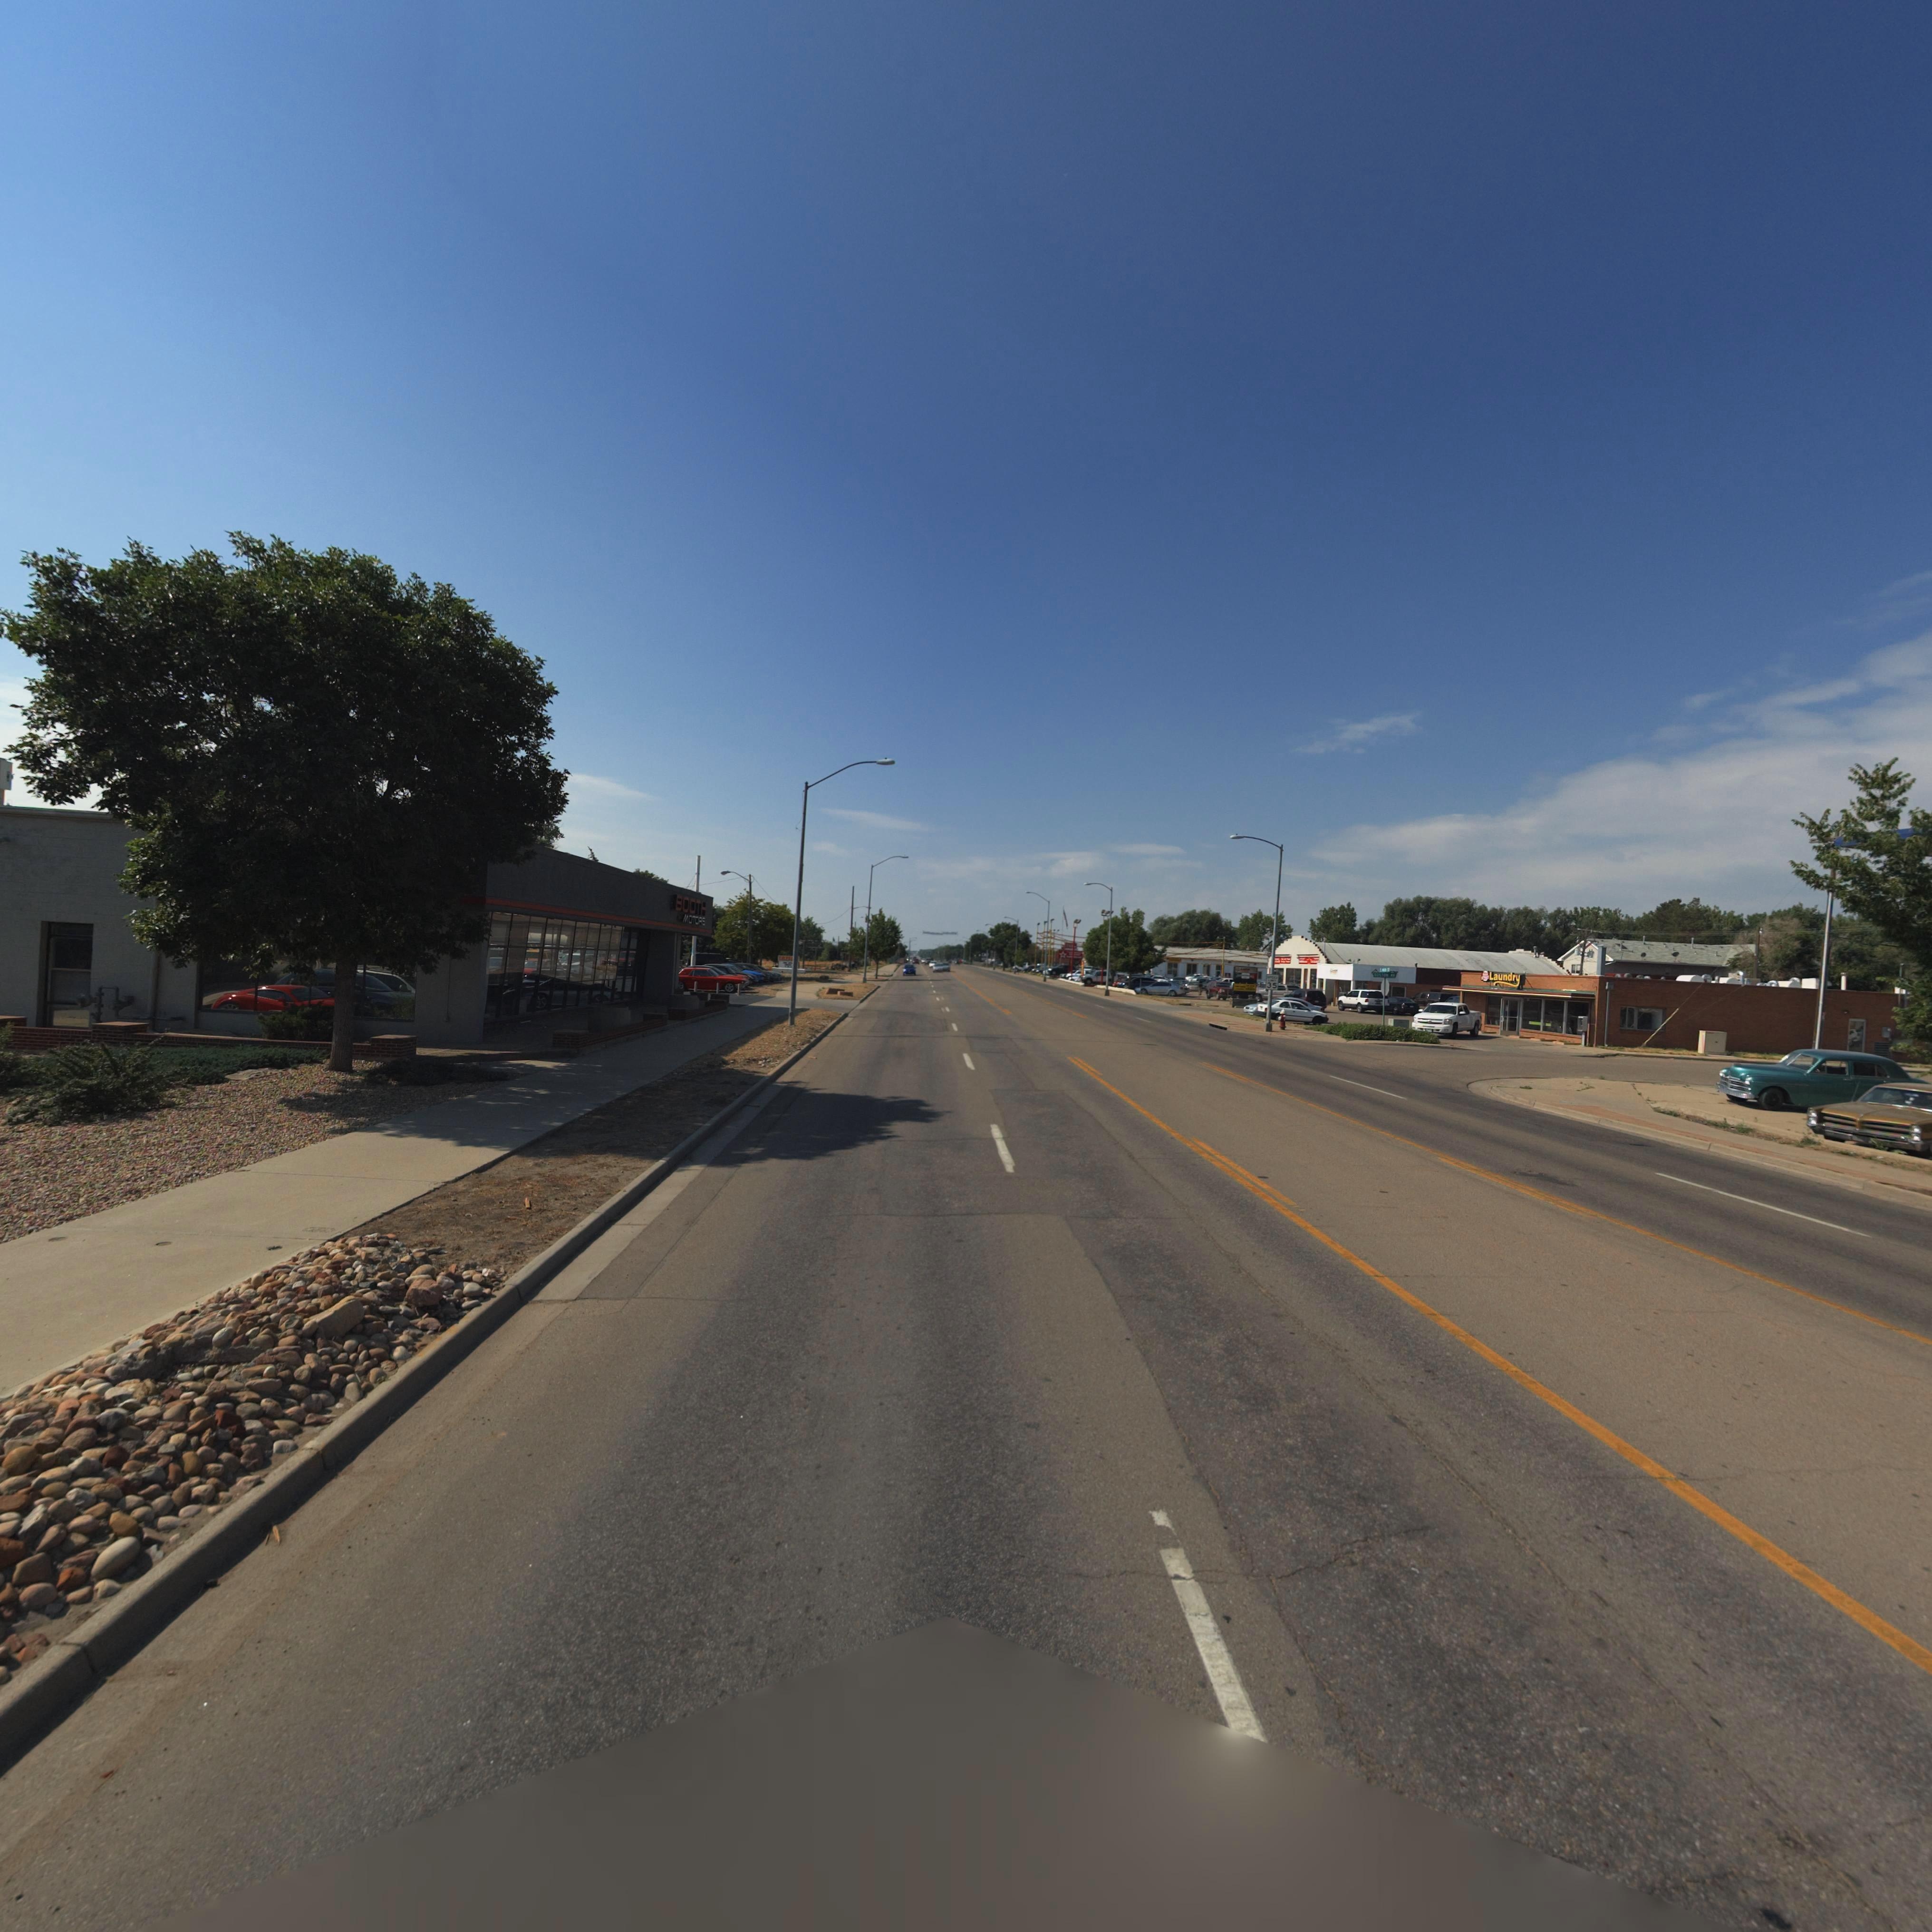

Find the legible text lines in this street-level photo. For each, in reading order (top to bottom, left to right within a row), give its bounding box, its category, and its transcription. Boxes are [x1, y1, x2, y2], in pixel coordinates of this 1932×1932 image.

[675, 894, 706, 916] BusinessName: BOOTH
[682, 914, 706, 926] BusinessName: MOTORS
[778, 956, 798, 960] BusinessName: T*****
[1240, 967, 1250, 970] BusinessName: L****
[1374, 973, 1395, 976] StreetName: *OS*** AV
[1489, 971, 1520, 987] BusinessName: Laundry